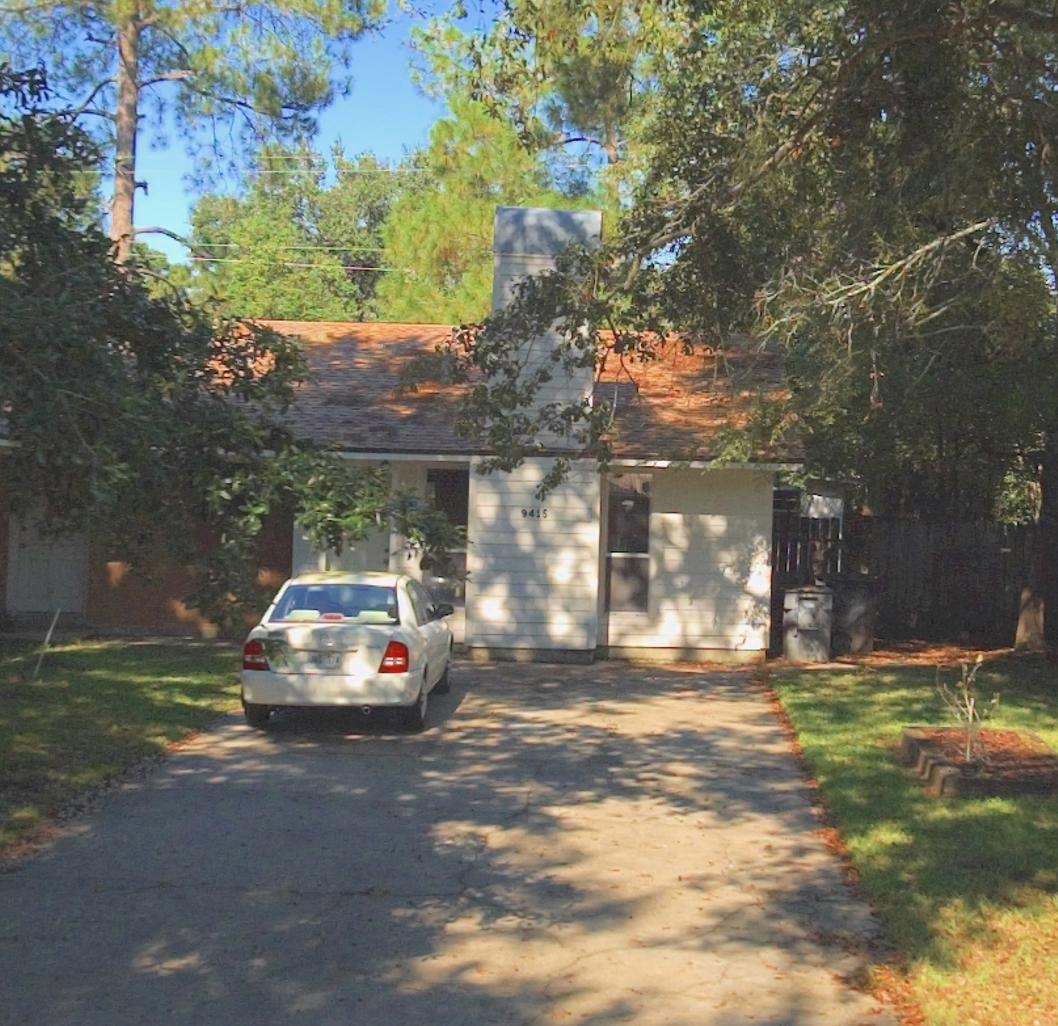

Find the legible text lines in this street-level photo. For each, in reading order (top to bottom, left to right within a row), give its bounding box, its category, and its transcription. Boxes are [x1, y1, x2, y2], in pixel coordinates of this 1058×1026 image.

[520, 508, 549, 519] StreetNumber: 9415